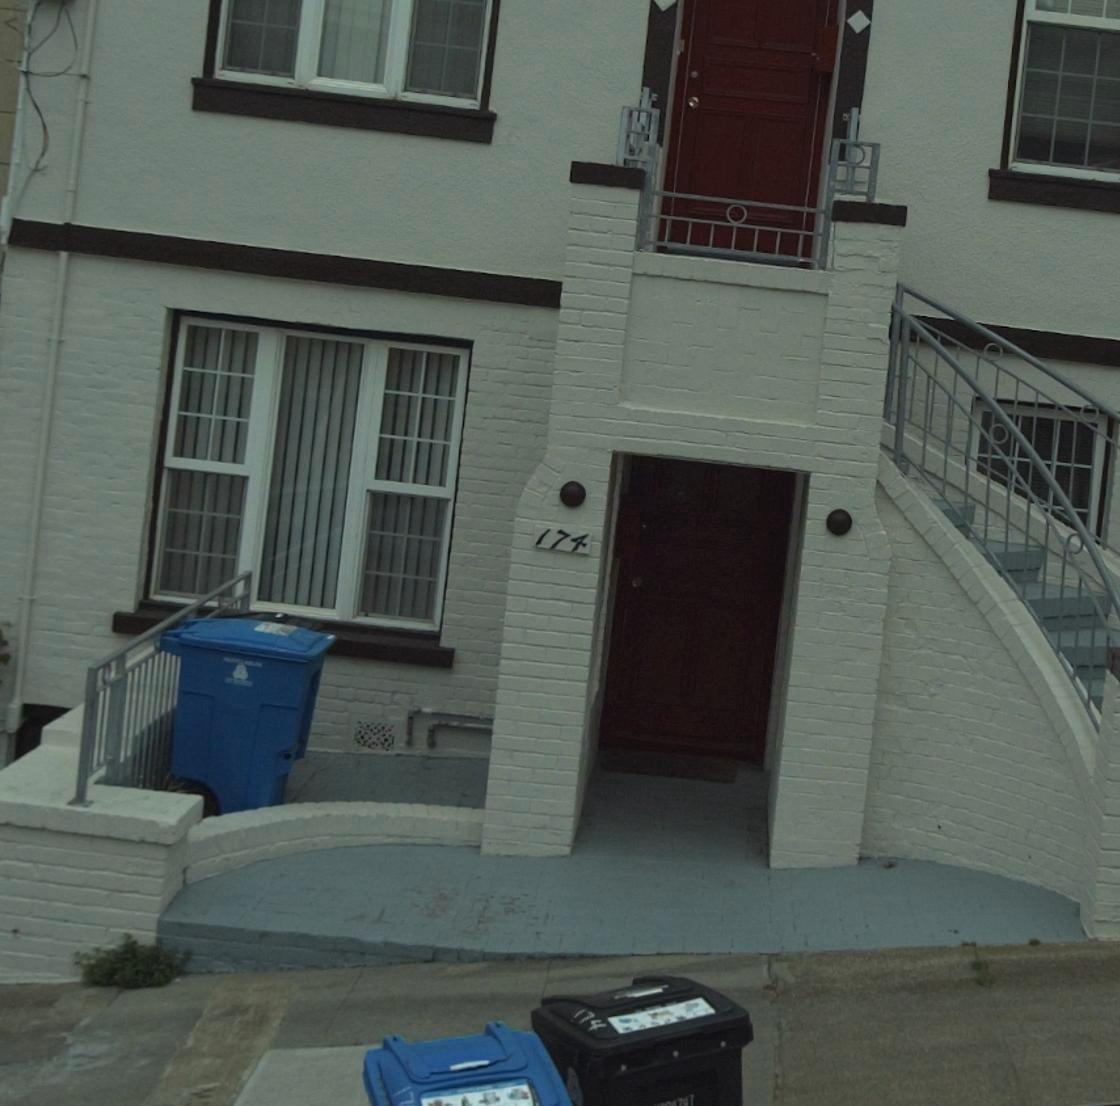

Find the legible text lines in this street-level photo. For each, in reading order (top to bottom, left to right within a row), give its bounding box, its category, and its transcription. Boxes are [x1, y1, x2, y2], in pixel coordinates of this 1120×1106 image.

[528, 526, 595, 555] StreetNumber: 174